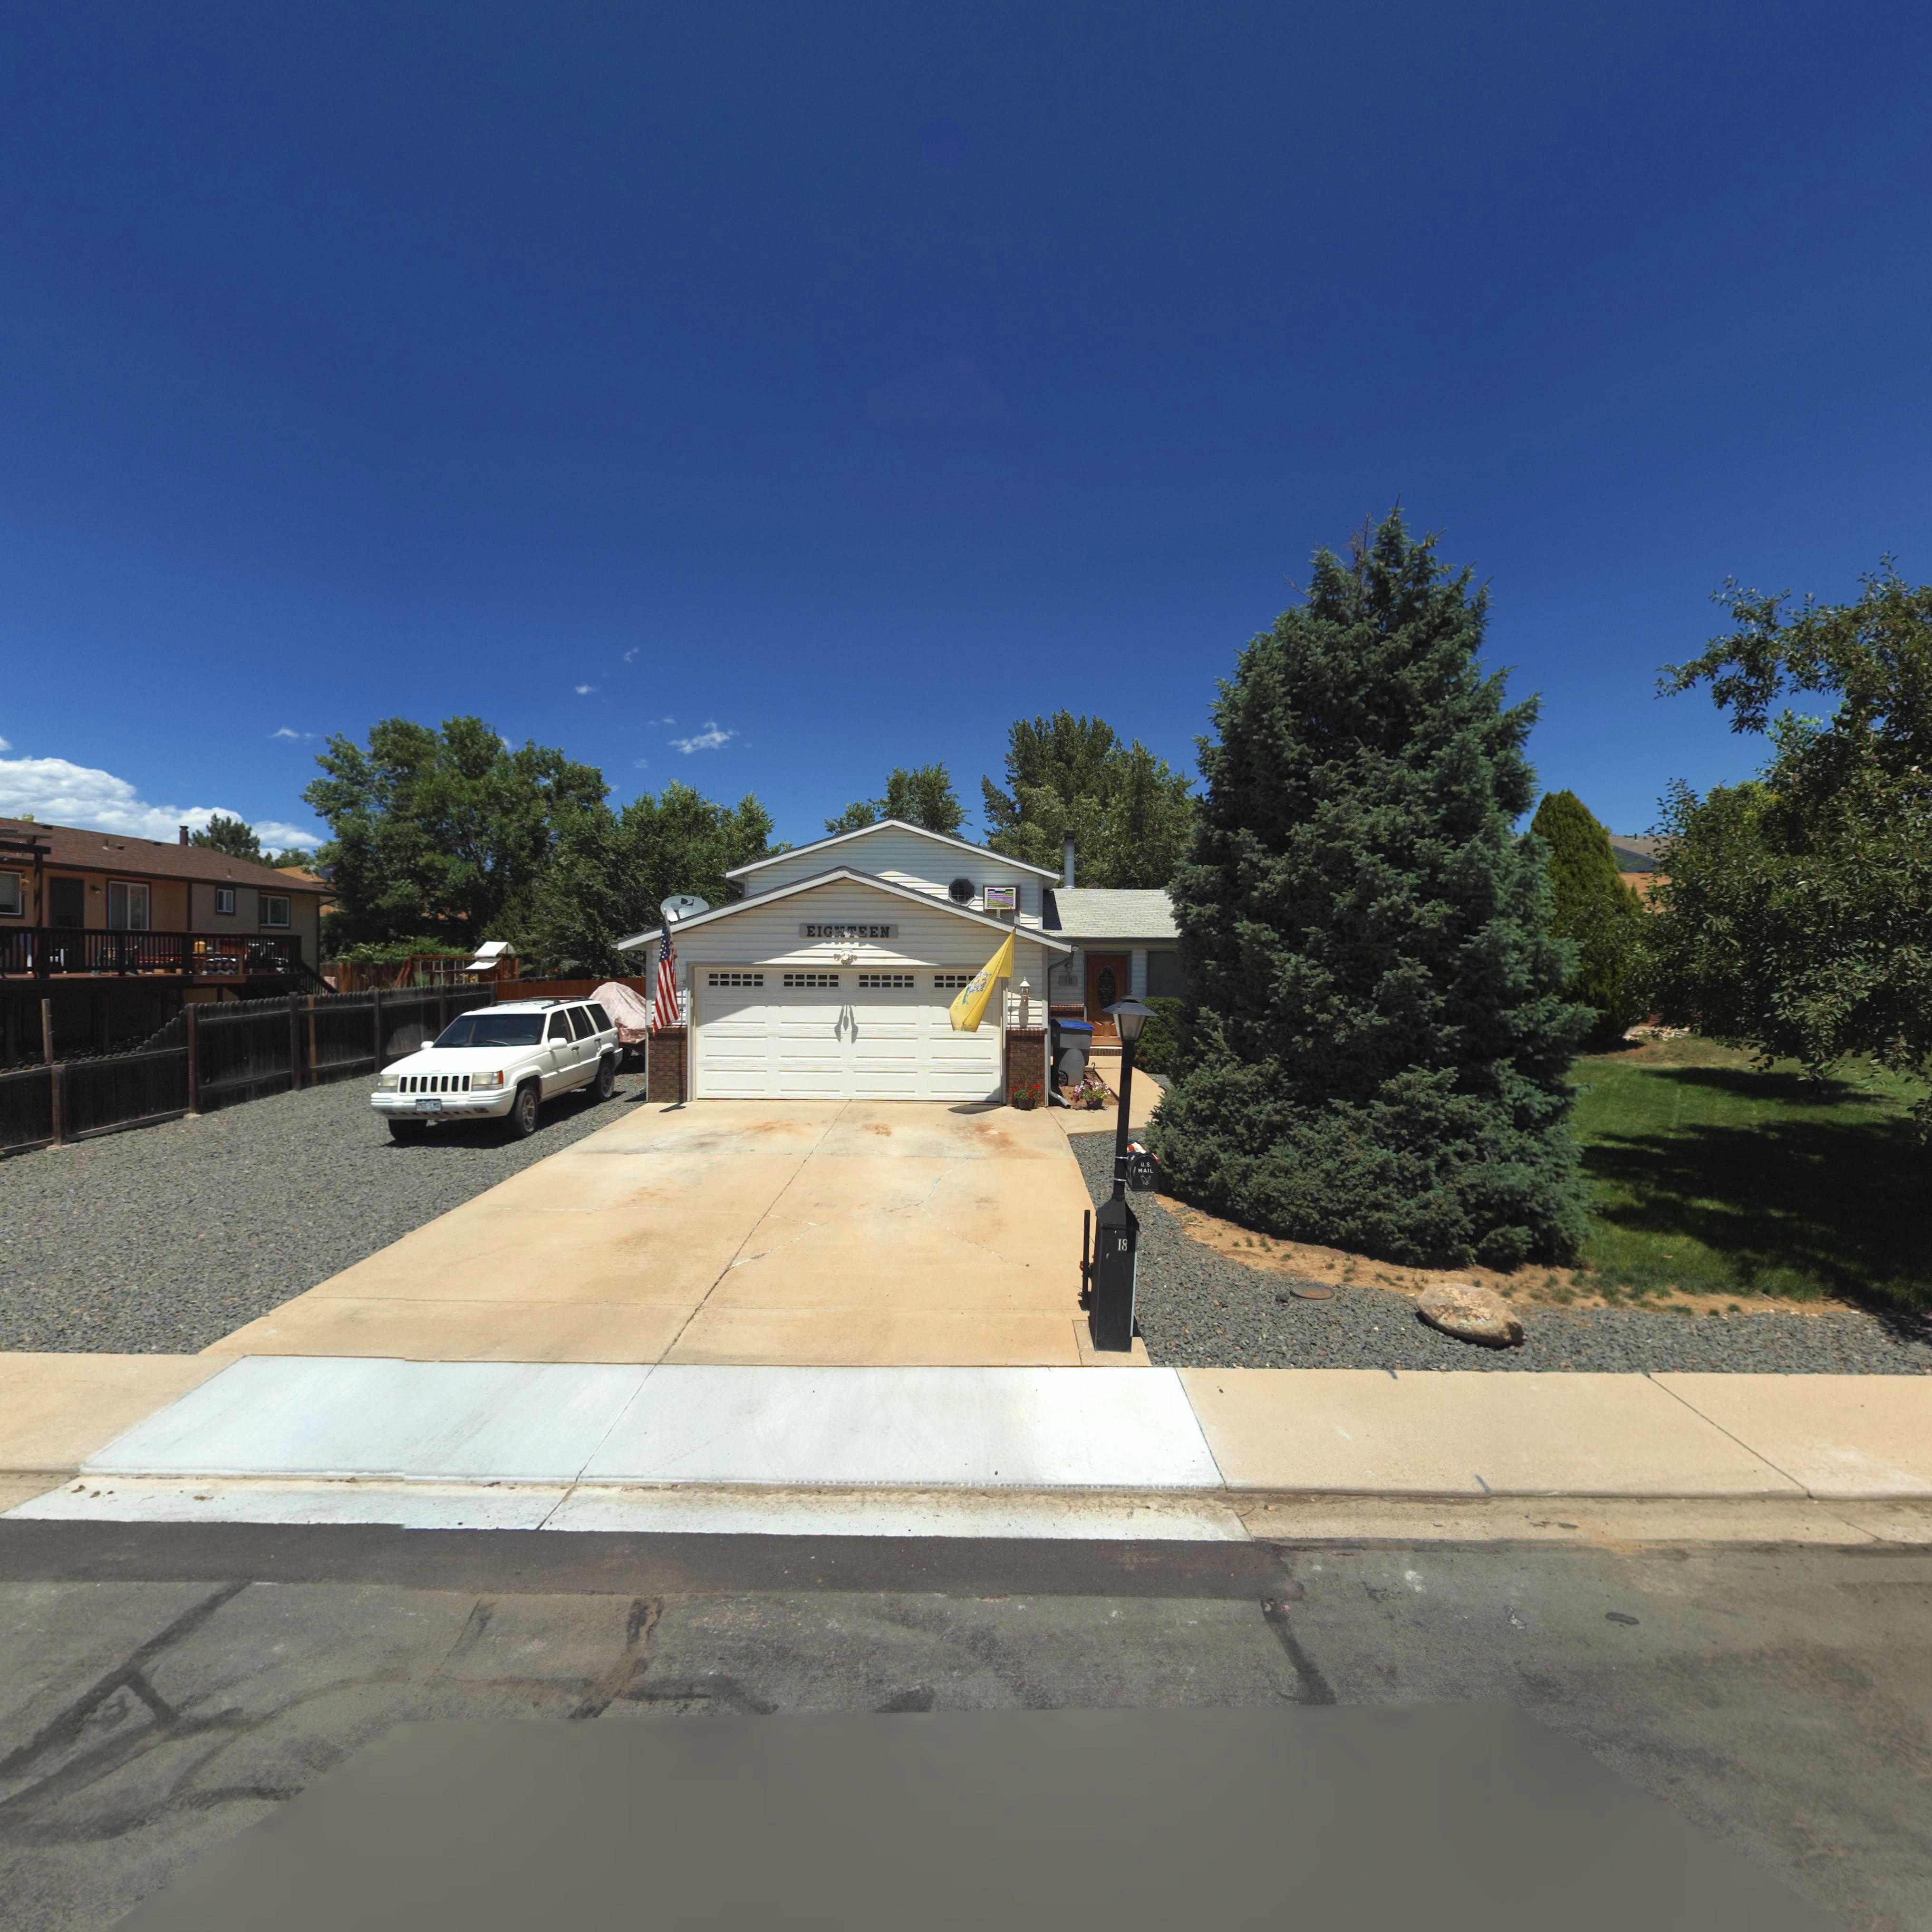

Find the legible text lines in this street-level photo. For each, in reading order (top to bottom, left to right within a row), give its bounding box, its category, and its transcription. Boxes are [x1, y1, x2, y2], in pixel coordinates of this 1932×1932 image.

[806, 925, 890, 937] StreetNumber: EIGHTEEN
[1063, 976, 1073, 985] StreetNumber: 18
[1117, 1237, 1128, 1252] StreetNumber: 18